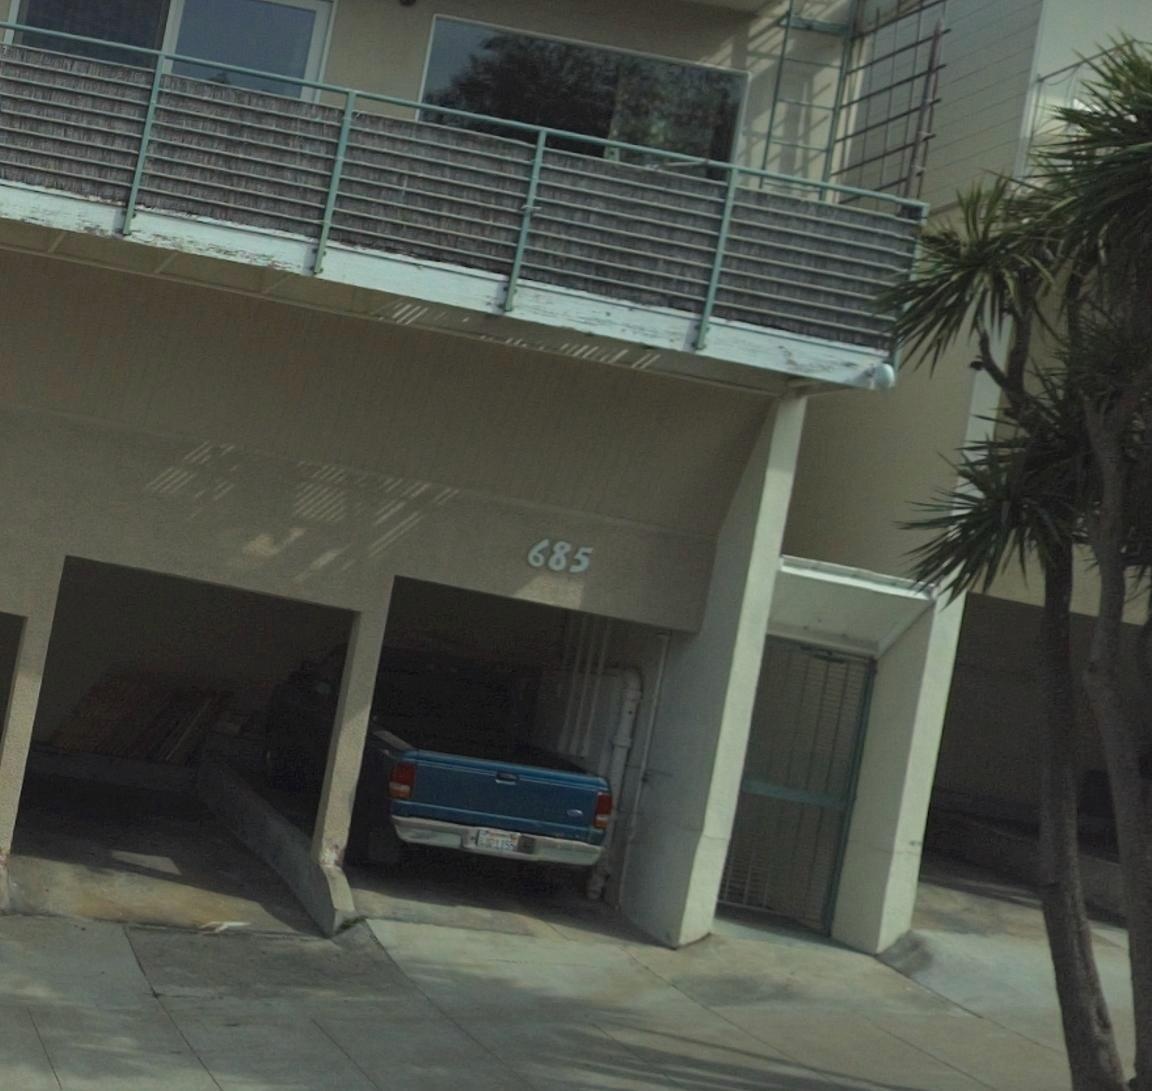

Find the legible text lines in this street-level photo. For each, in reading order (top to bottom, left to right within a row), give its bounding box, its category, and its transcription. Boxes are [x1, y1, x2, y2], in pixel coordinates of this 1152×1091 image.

[519, 535, 596, 578] StreetNumber: 685